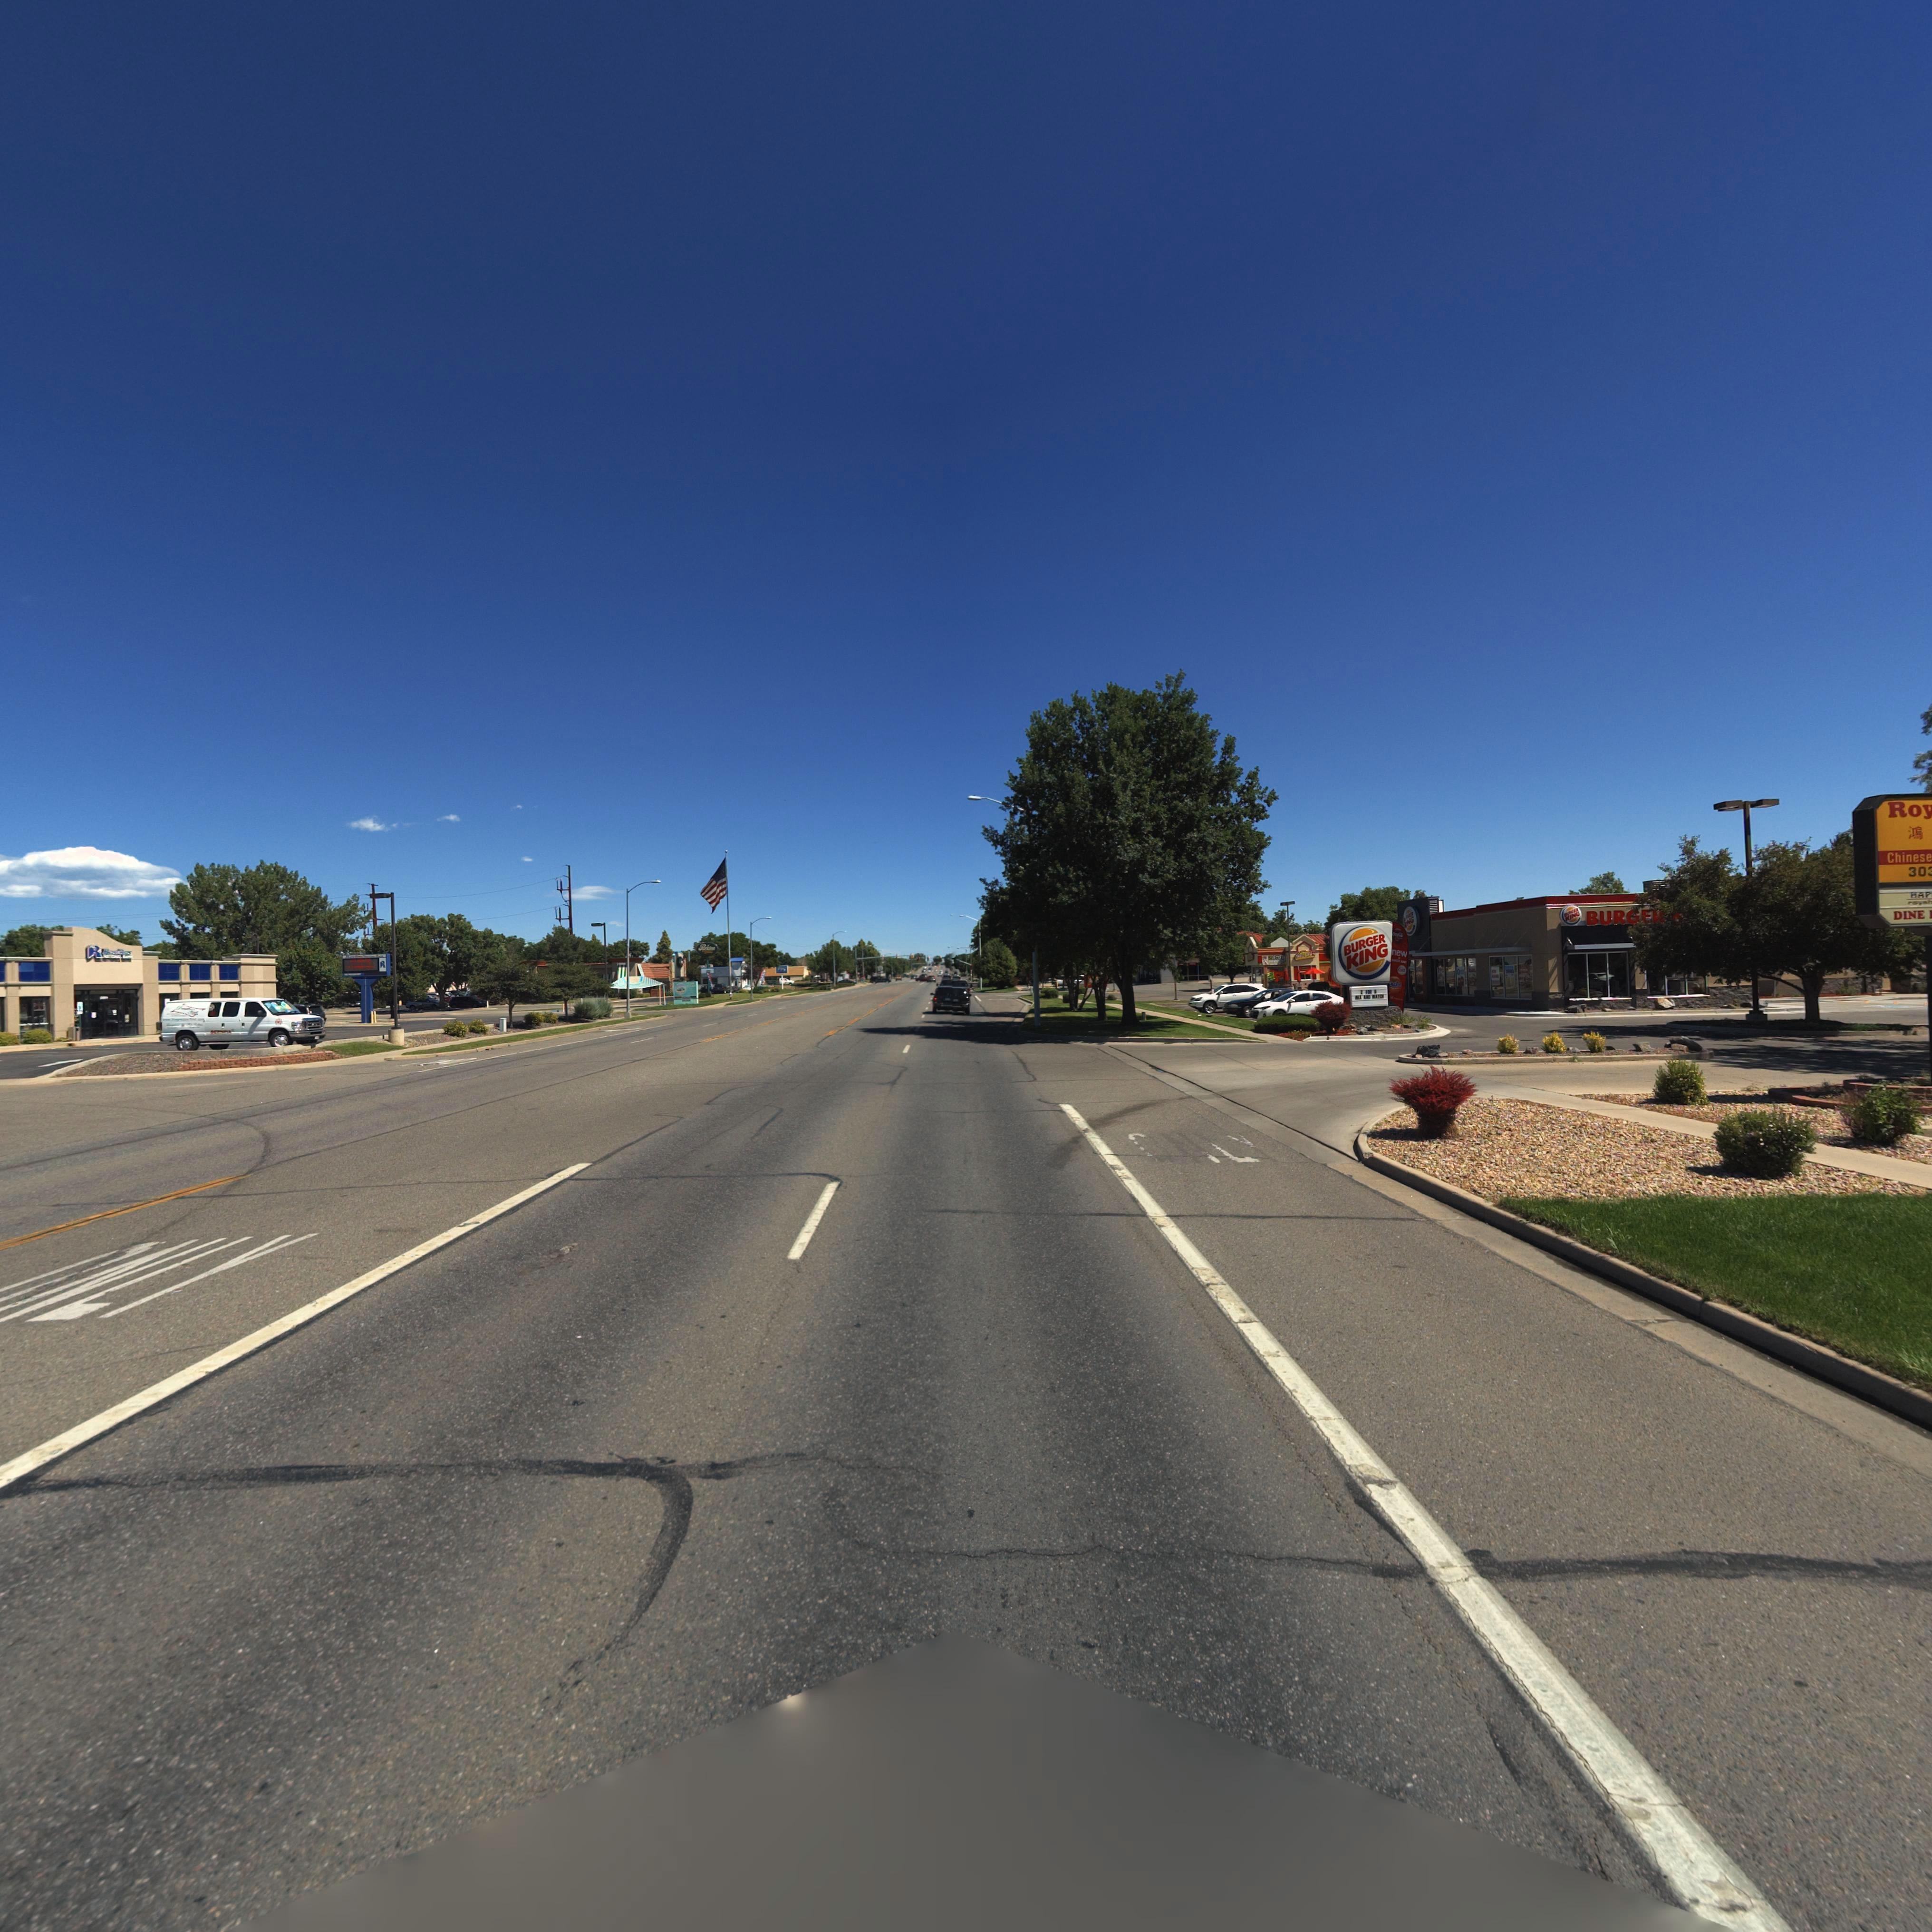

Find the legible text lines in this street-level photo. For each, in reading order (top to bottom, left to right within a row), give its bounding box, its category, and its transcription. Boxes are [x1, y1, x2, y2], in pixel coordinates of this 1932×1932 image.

[1887, 801, 1922, 818] BusinessName: Ro
[1404, 915, 1414, 928] BusinessName: KING
[1406, 911, 1413, 919] BusinessName: **ER
[1564, 907, 1578, 917] BusinessName: BURGER
[1565, 911, 1579, 922] BusinessName: KING
[1586, 908, 1640, 925] BusinessName: BURG
[86, 944, 133, 959] BusinessName: R********
[697, 943, 716, 951] BusinessName: Perkins
[1343, 933, 1386, 956] BusinessName: BURGER
[1346, 943, 1388, 971] BusinessName: KING